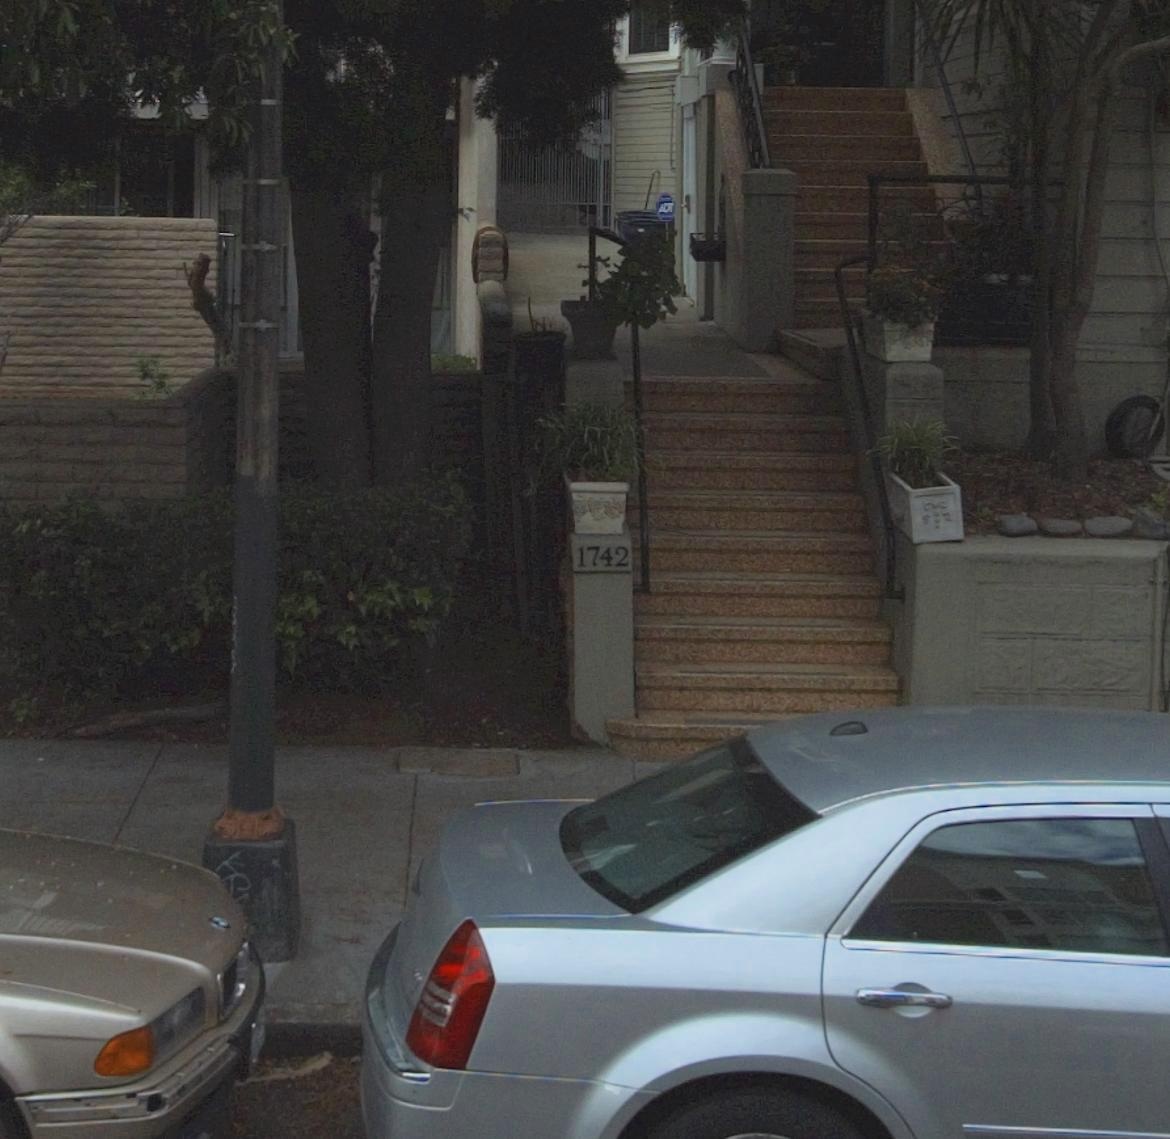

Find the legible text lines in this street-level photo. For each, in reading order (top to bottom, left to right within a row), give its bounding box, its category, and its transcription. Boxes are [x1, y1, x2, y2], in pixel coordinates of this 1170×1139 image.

[657, 202, 675, 213] None: ADT
[576, 544, 631, 568] StreetNumber: 1742